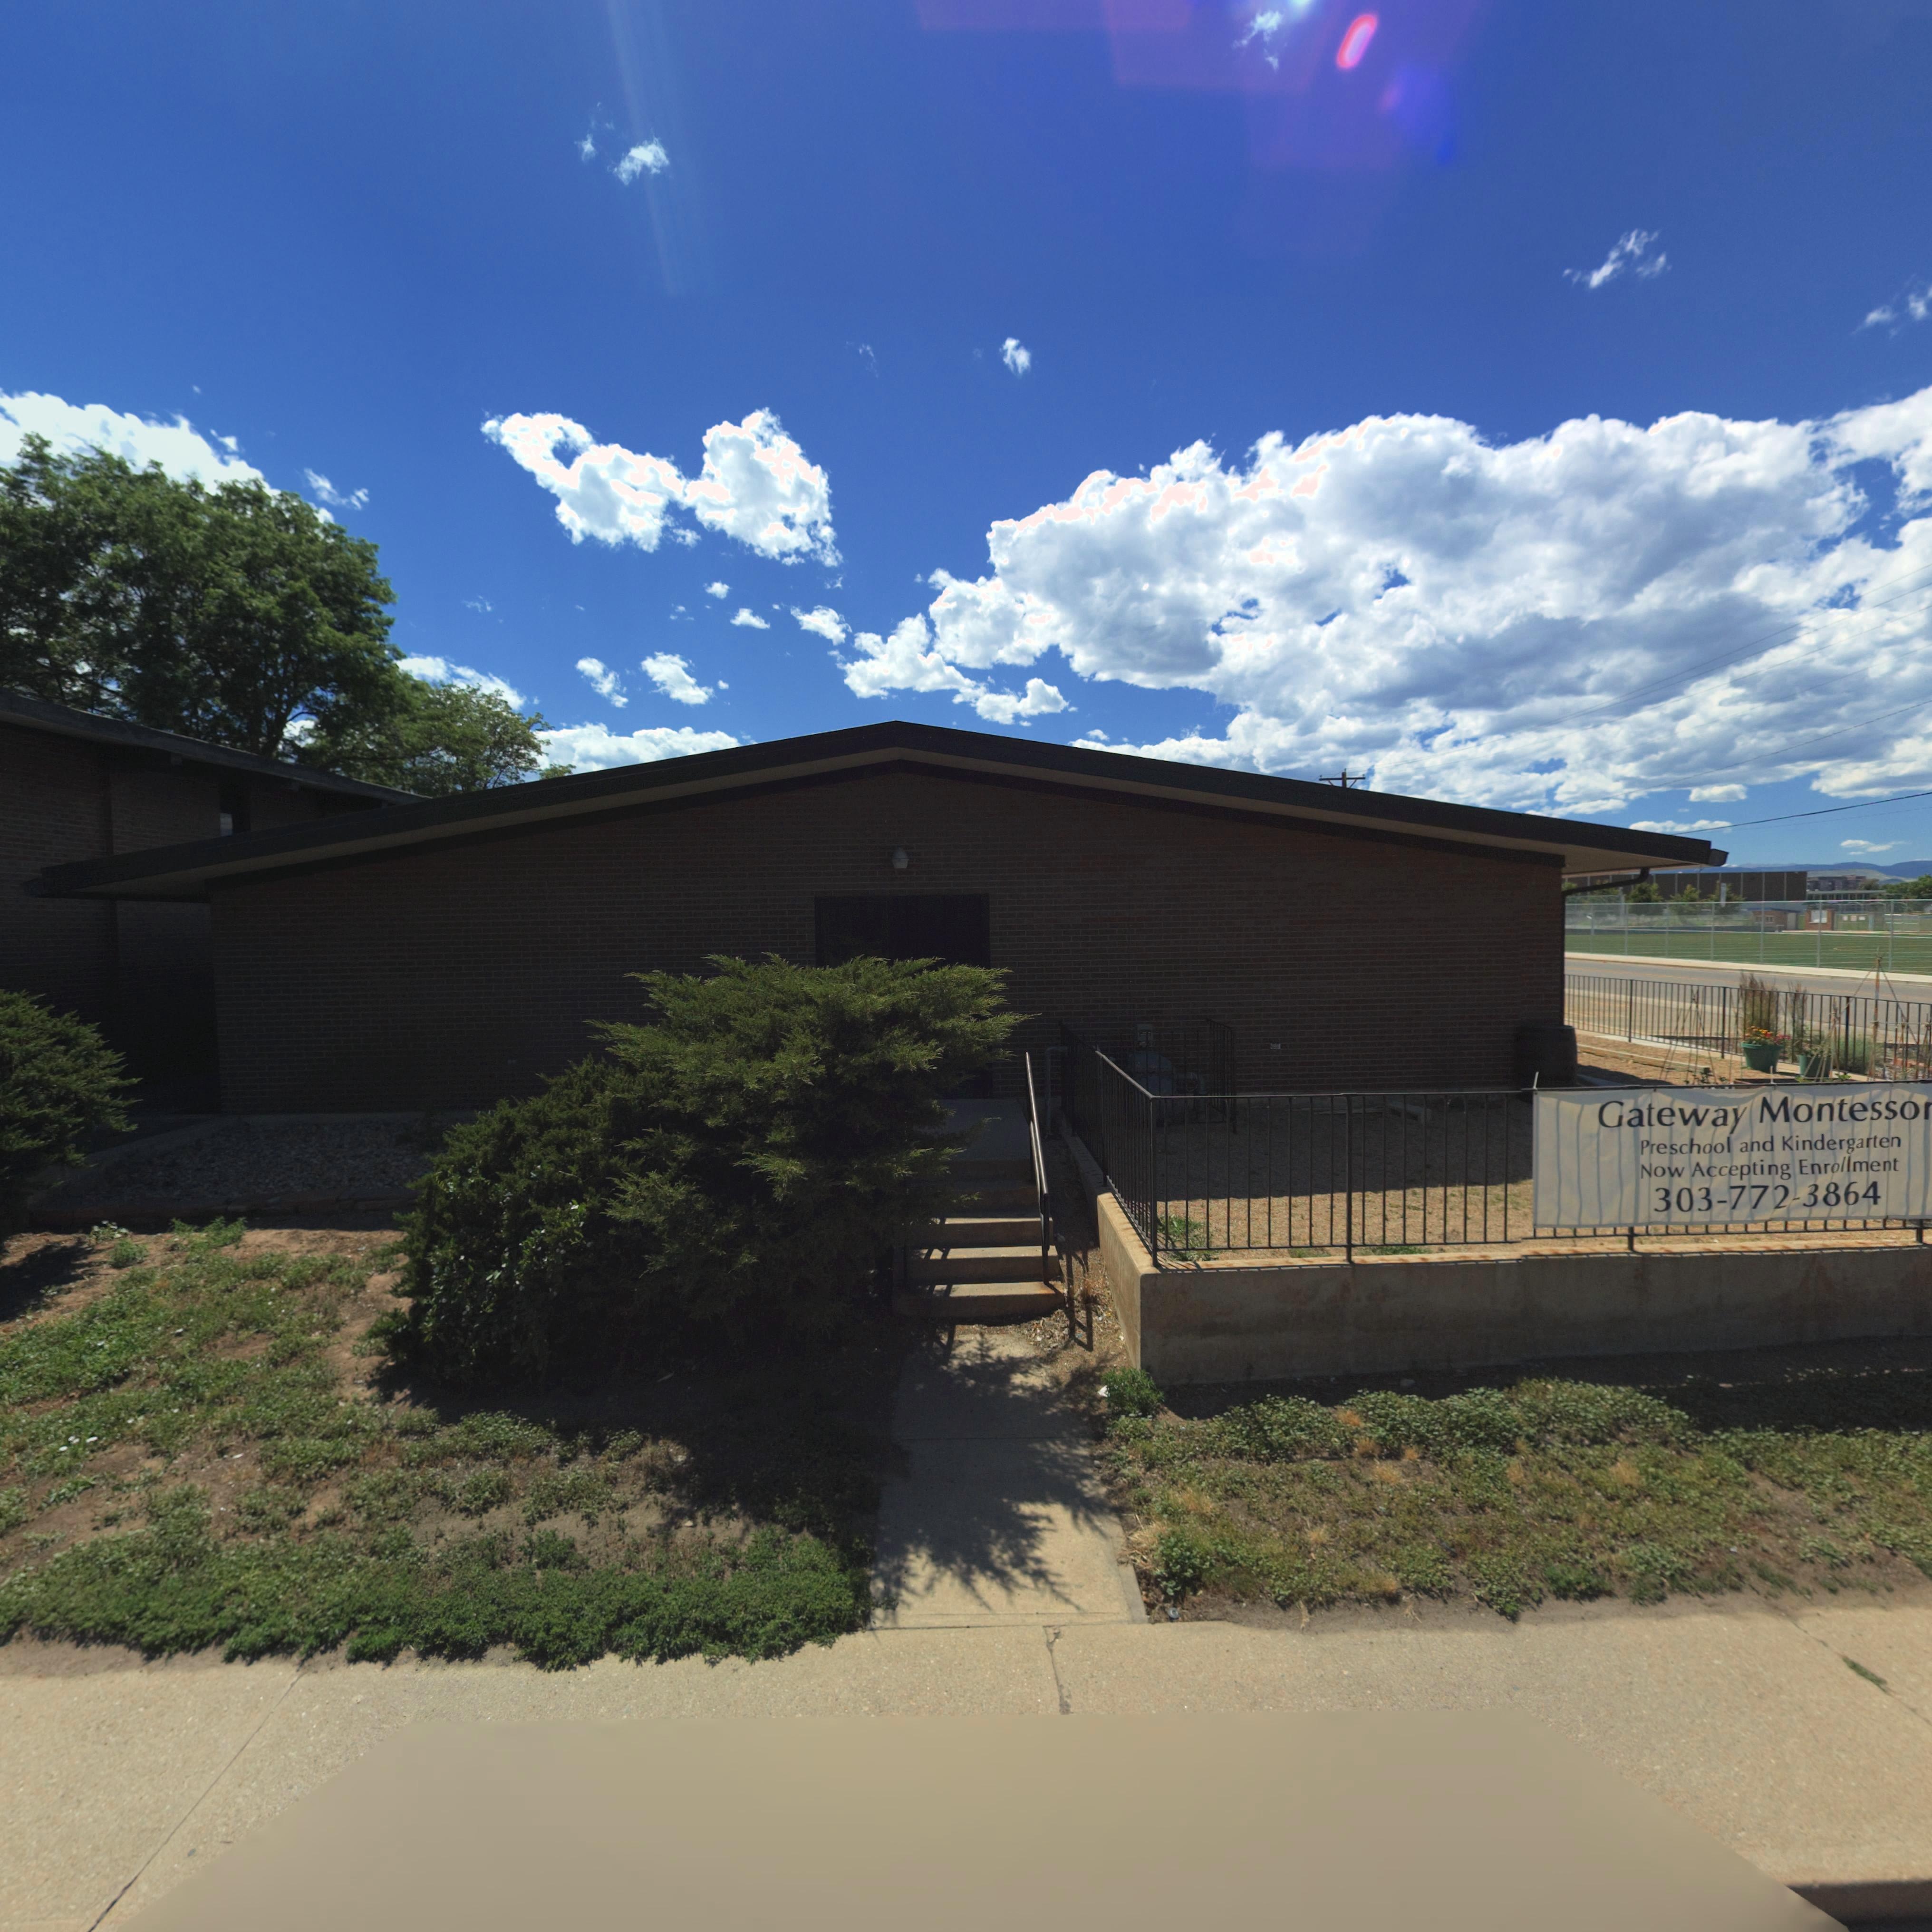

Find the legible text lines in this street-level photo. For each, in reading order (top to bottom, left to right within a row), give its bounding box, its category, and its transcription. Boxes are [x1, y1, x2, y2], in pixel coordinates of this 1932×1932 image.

[1597, 1095, 1920, 1135] BusinessName: Gateway Montesso
[1640, 1132, 1902, 1156] BusinessName: Presschool and Kindergarten